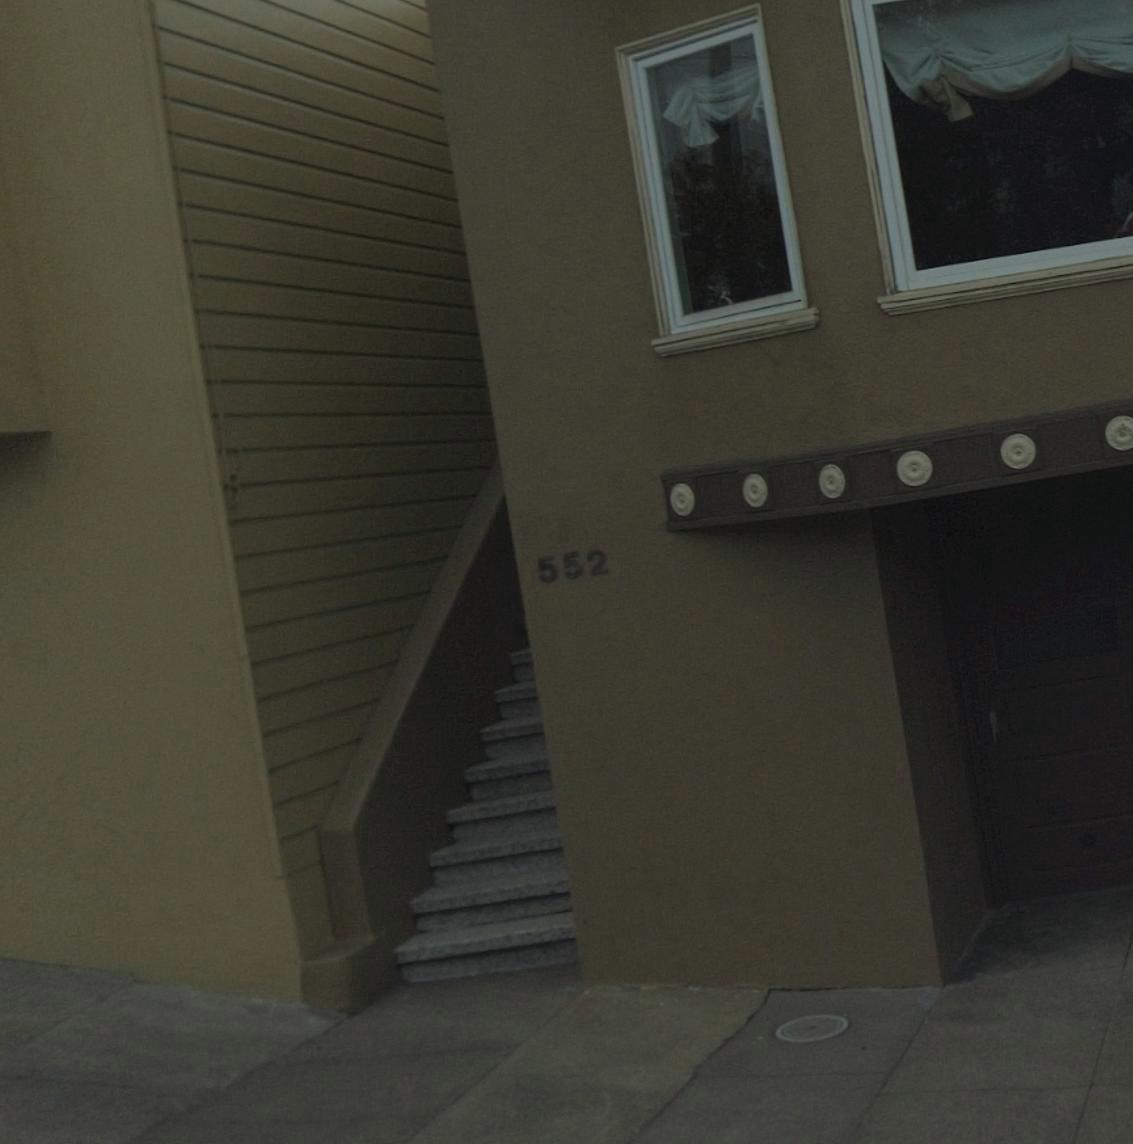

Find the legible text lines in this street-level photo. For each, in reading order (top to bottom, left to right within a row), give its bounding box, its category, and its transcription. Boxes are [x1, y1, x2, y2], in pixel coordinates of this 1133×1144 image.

[534, 546, 611, 585] StreetNumber: 552